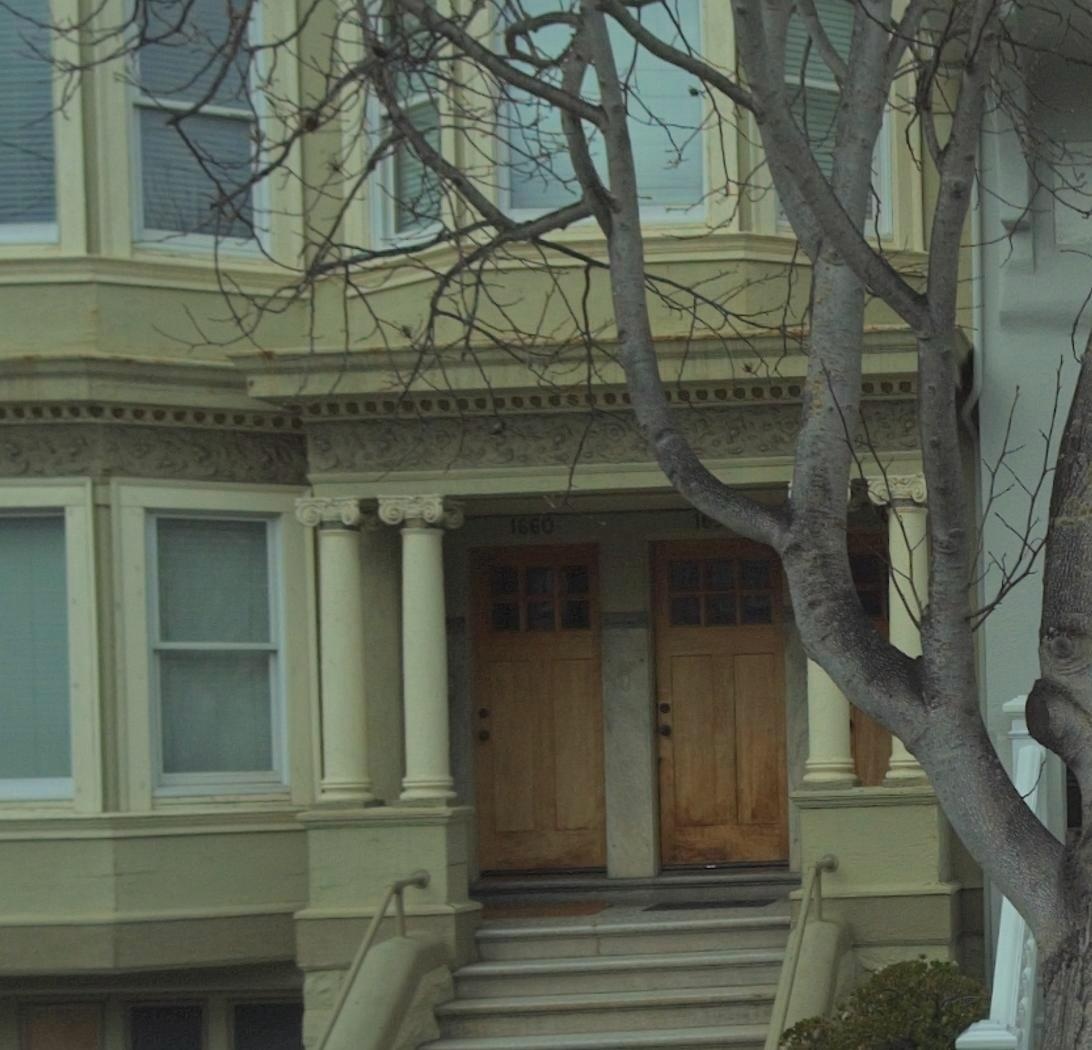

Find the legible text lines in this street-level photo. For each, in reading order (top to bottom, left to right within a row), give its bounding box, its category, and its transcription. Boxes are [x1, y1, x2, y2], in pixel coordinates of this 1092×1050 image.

[508, 514, 555, 537] StreetNumber: 1660
[691, 511, 703, 532] StreetNumber: 1